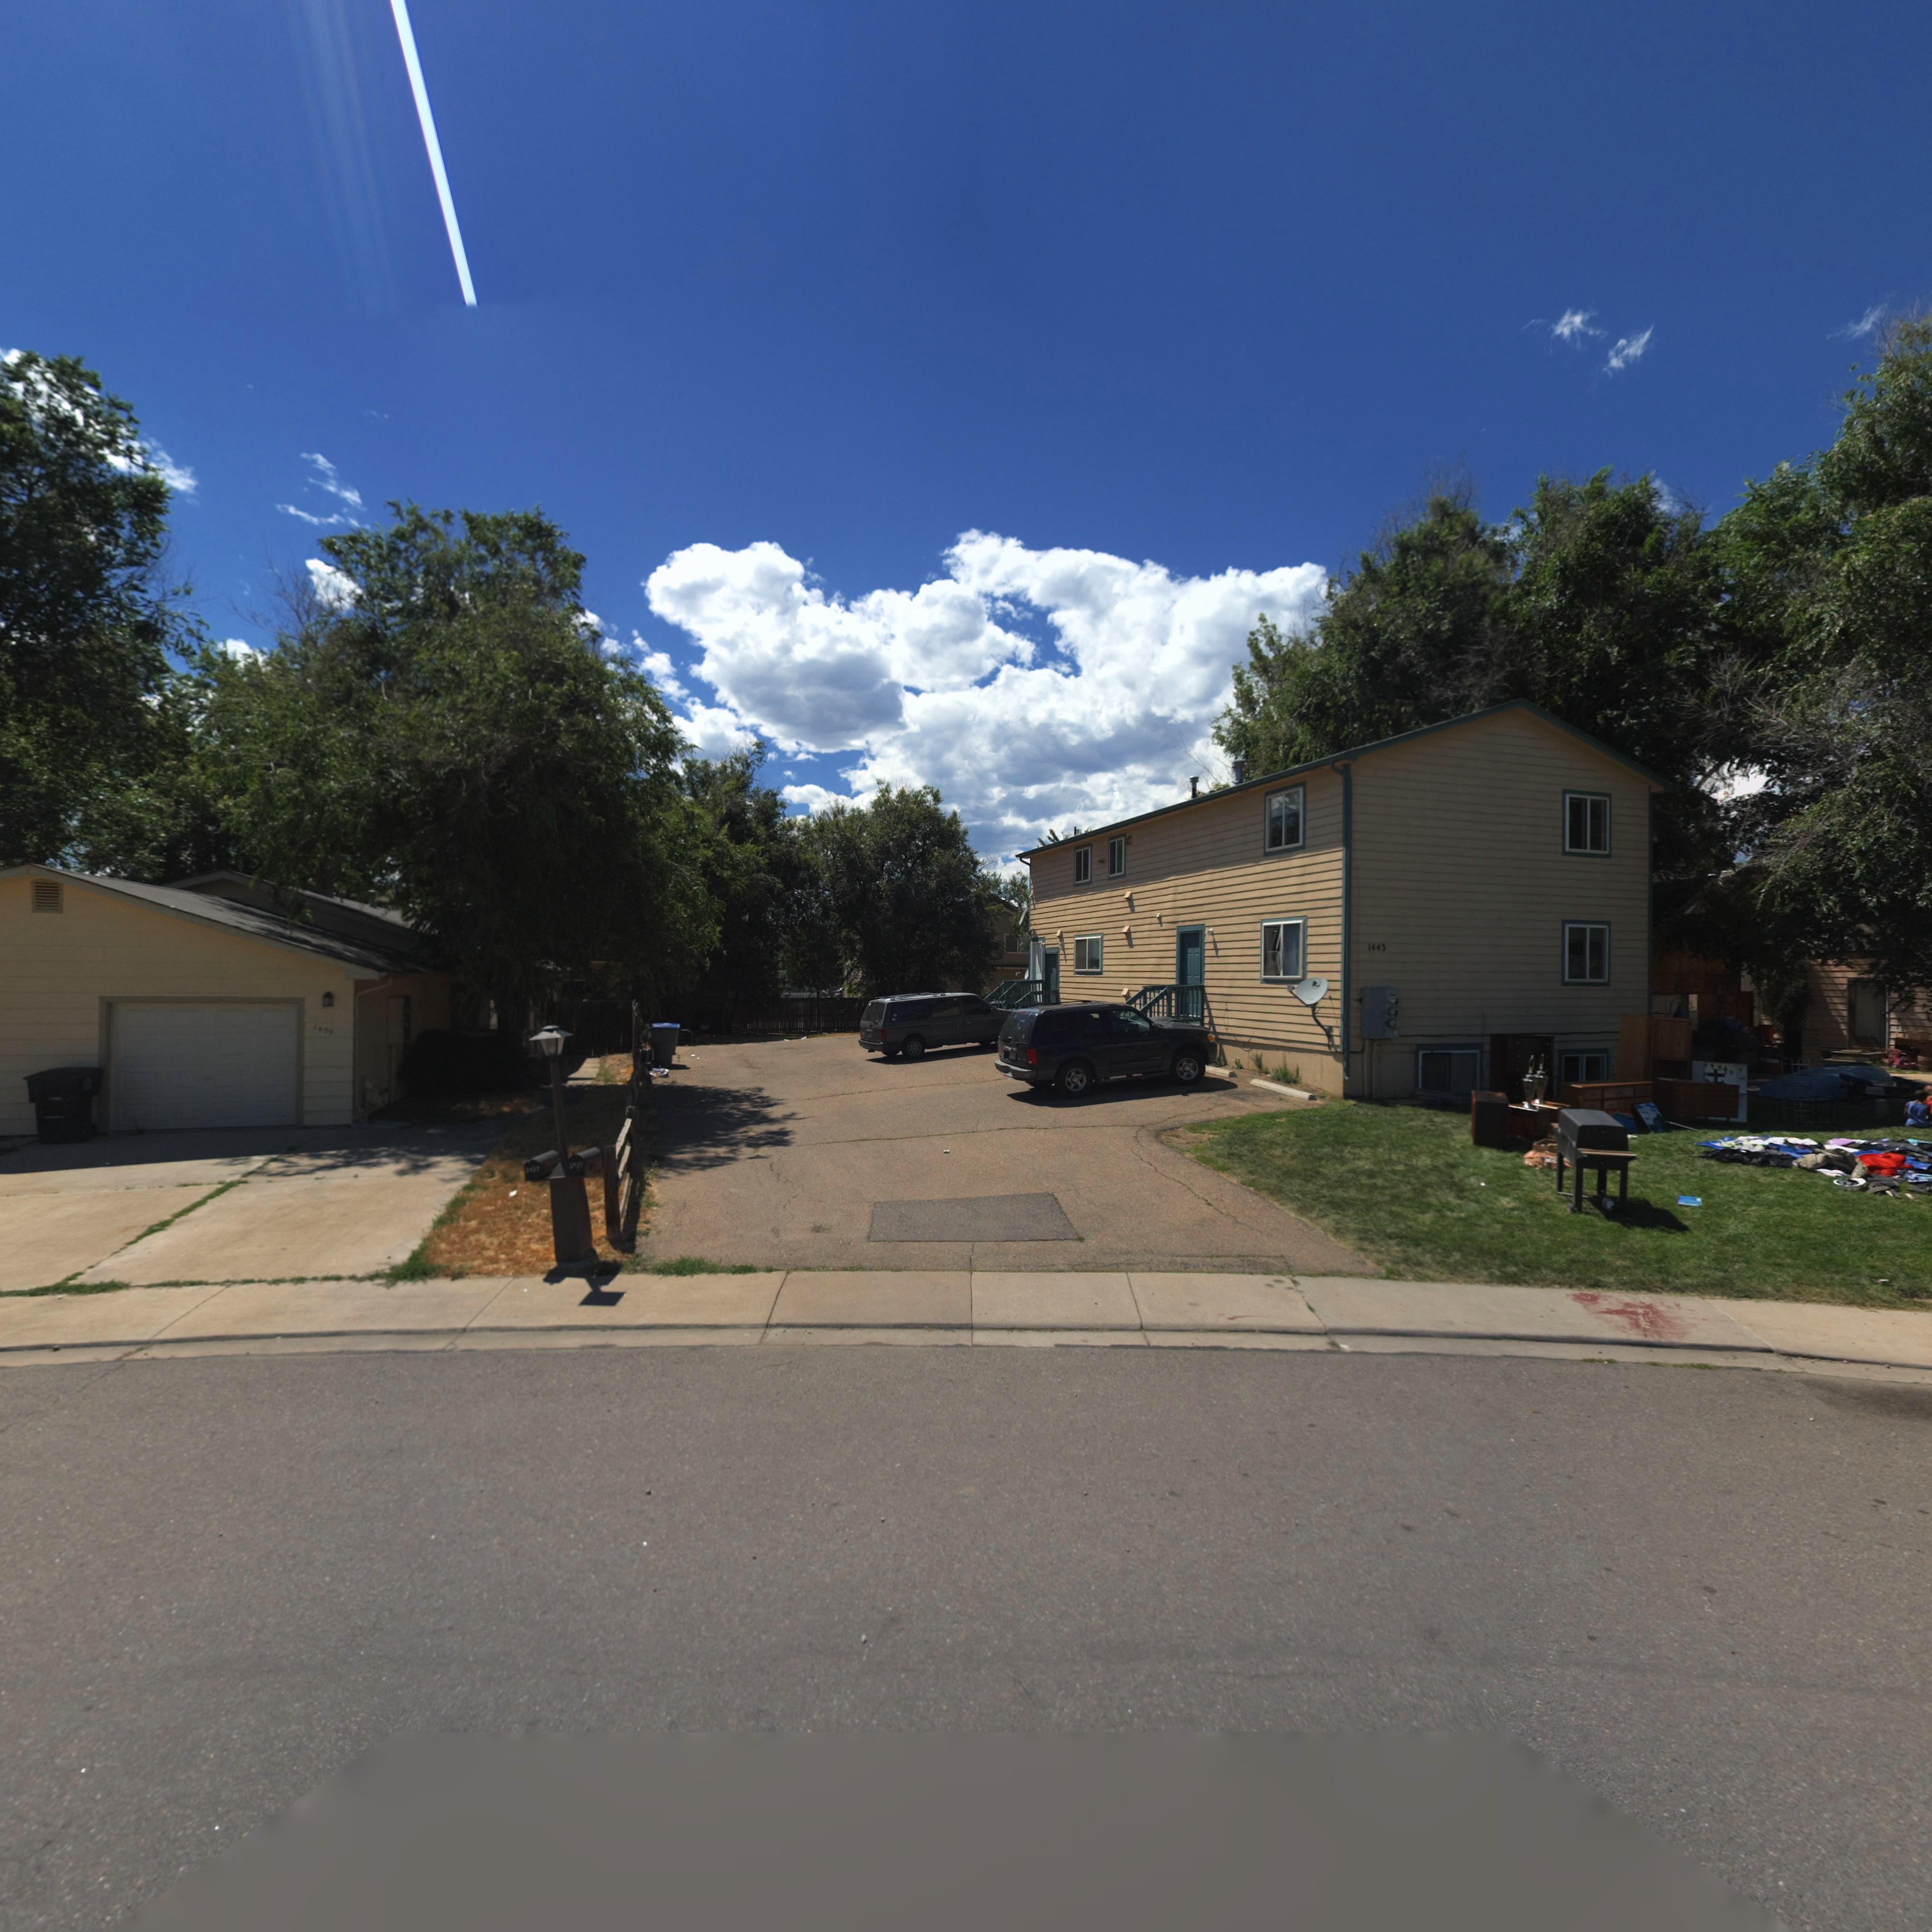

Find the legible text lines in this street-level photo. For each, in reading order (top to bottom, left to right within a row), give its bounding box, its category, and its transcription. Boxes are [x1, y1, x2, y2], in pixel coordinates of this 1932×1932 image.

[1368, 943, 1386, 951] StreetNumber: 1443
[313, 1024, 334, 1035] StreetNumber: 1*39
[525, 1164, 539, 1174] StreetNumber: 1***
[568, 1161, 583, 1169] StreetNumber: 1*3*